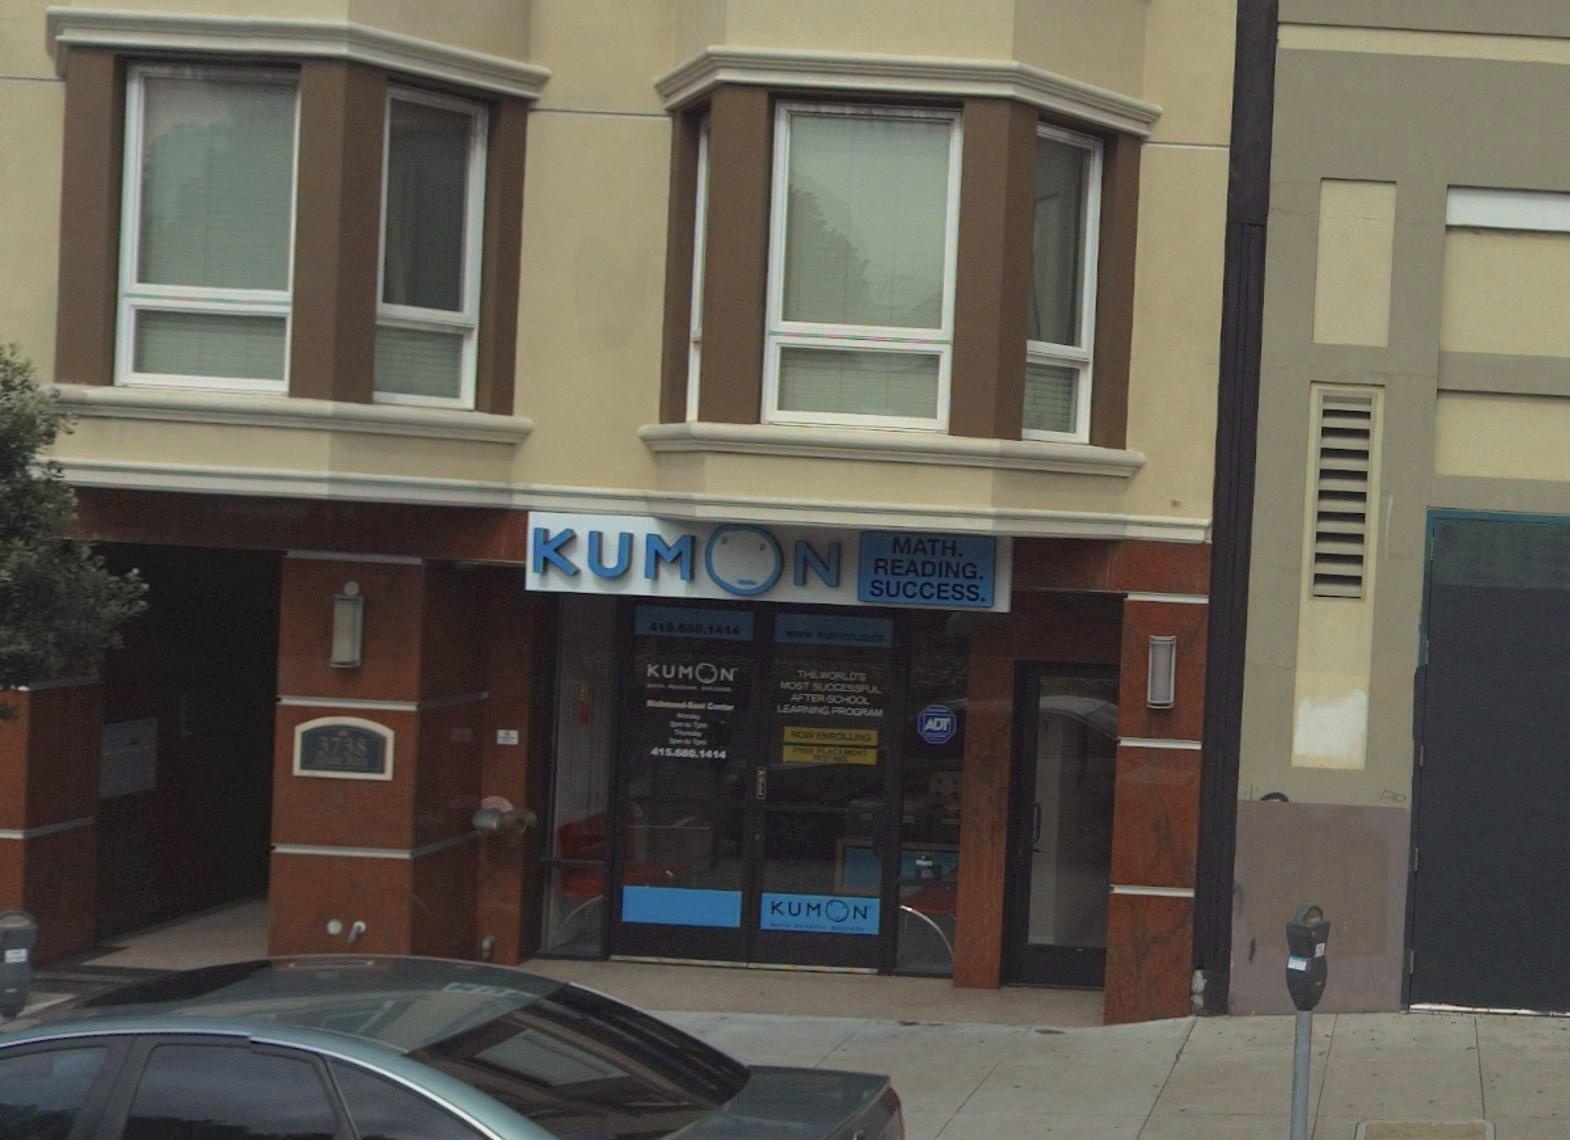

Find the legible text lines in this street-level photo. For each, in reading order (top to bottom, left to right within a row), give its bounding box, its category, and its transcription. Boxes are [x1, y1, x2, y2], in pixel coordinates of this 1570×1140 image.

[889, 535, 958, 560] None: MATH
[531, 522, 843, 599] BusinessName: KUMON
[871, 556, 982, 584] None: READING
[864, 577, 984, 604] None: SUCCESS
[646, 618, 741, 639] None: 415.6*0.1414
[645, 658, 738, 686] BusinessName: KUMON
[795, 666, 871, 685] None: THE WORLD'S
[777, 677, 886, 697] None: MOST SUCCESSFUL
[786, 691, 873, 708] None: AFTER SCHOOL
[774, 703, 886, 719] None: LEARNING PROGRAM
[919, 716, 953, 734] None: ADT
[314, 734, 370, 759] StreetNumber: 3738
[644, 745, 730, 762] None: 415.6**.1414
[787, 728, 874, 746] None: NOW ENROLLING
[768, 896, 872, 926] BusinessName: KUMON